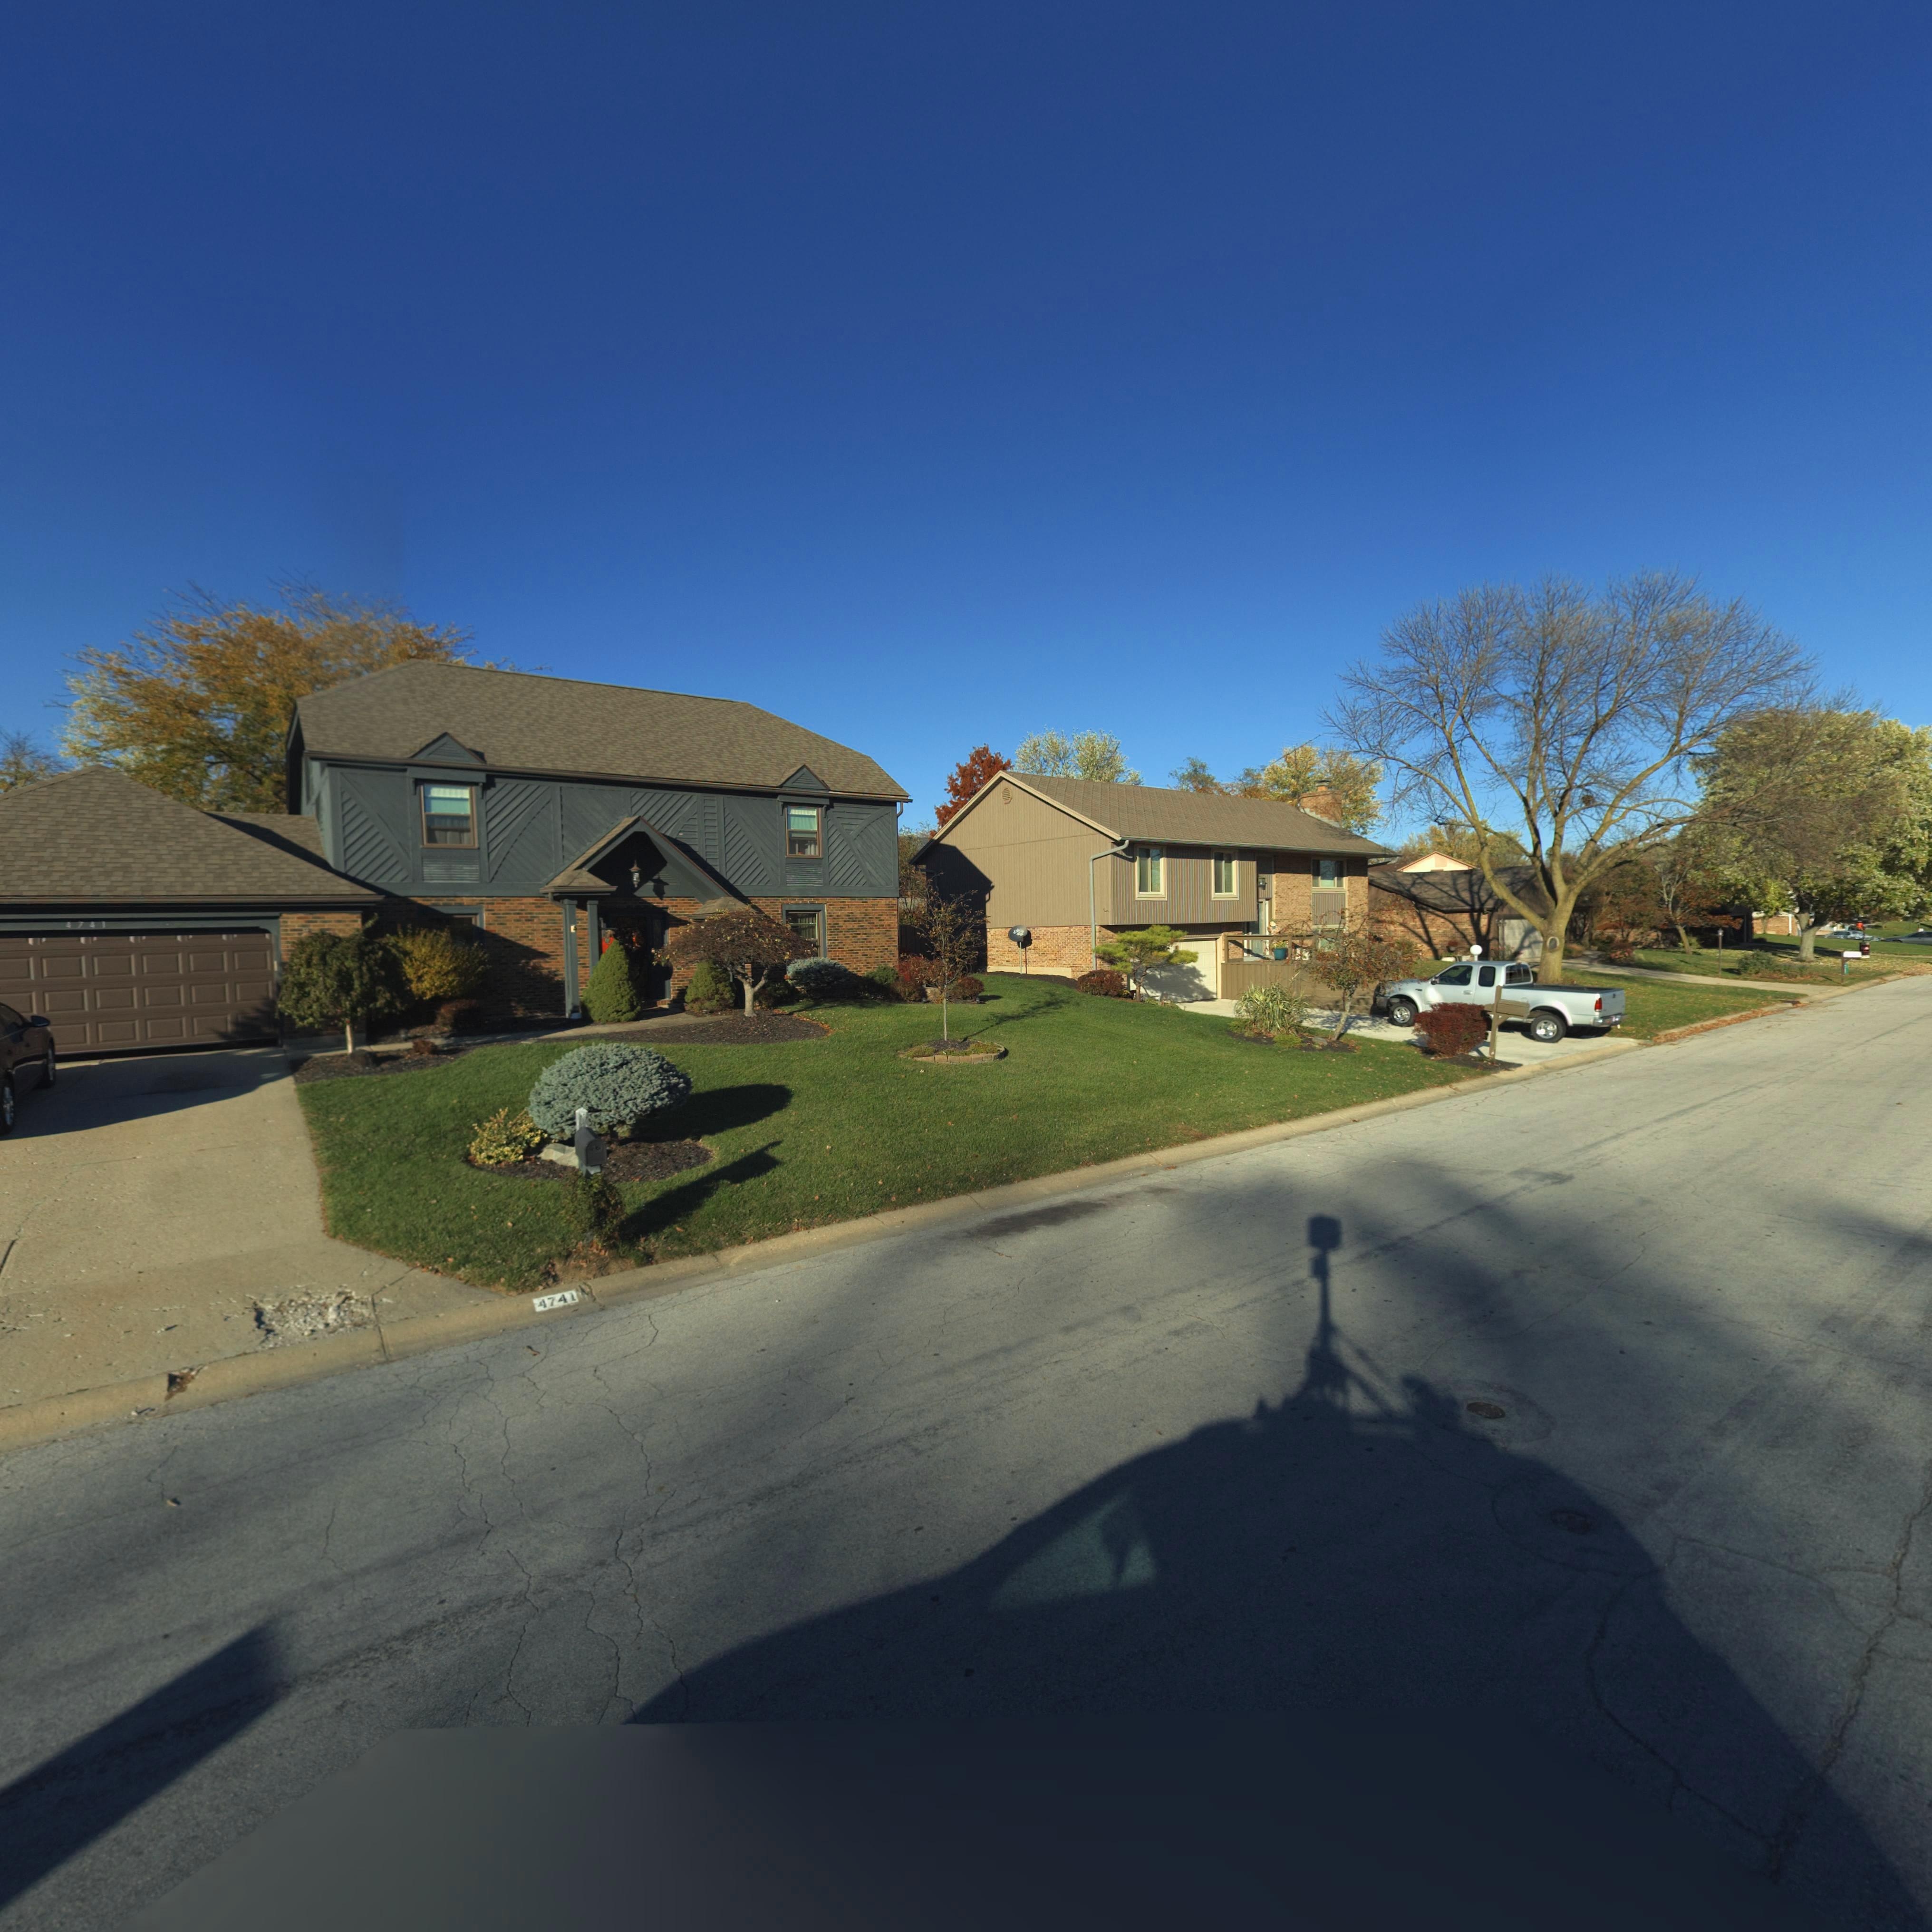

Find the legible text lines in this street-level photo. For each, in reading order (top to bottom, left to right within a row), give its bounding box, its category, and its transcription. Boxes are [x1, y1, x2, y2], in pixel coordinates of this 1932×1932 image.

[64, 919, 107, 930] StreetNumber: 4741
[535, 1290, 578, 1311] StreetNumber: 4741